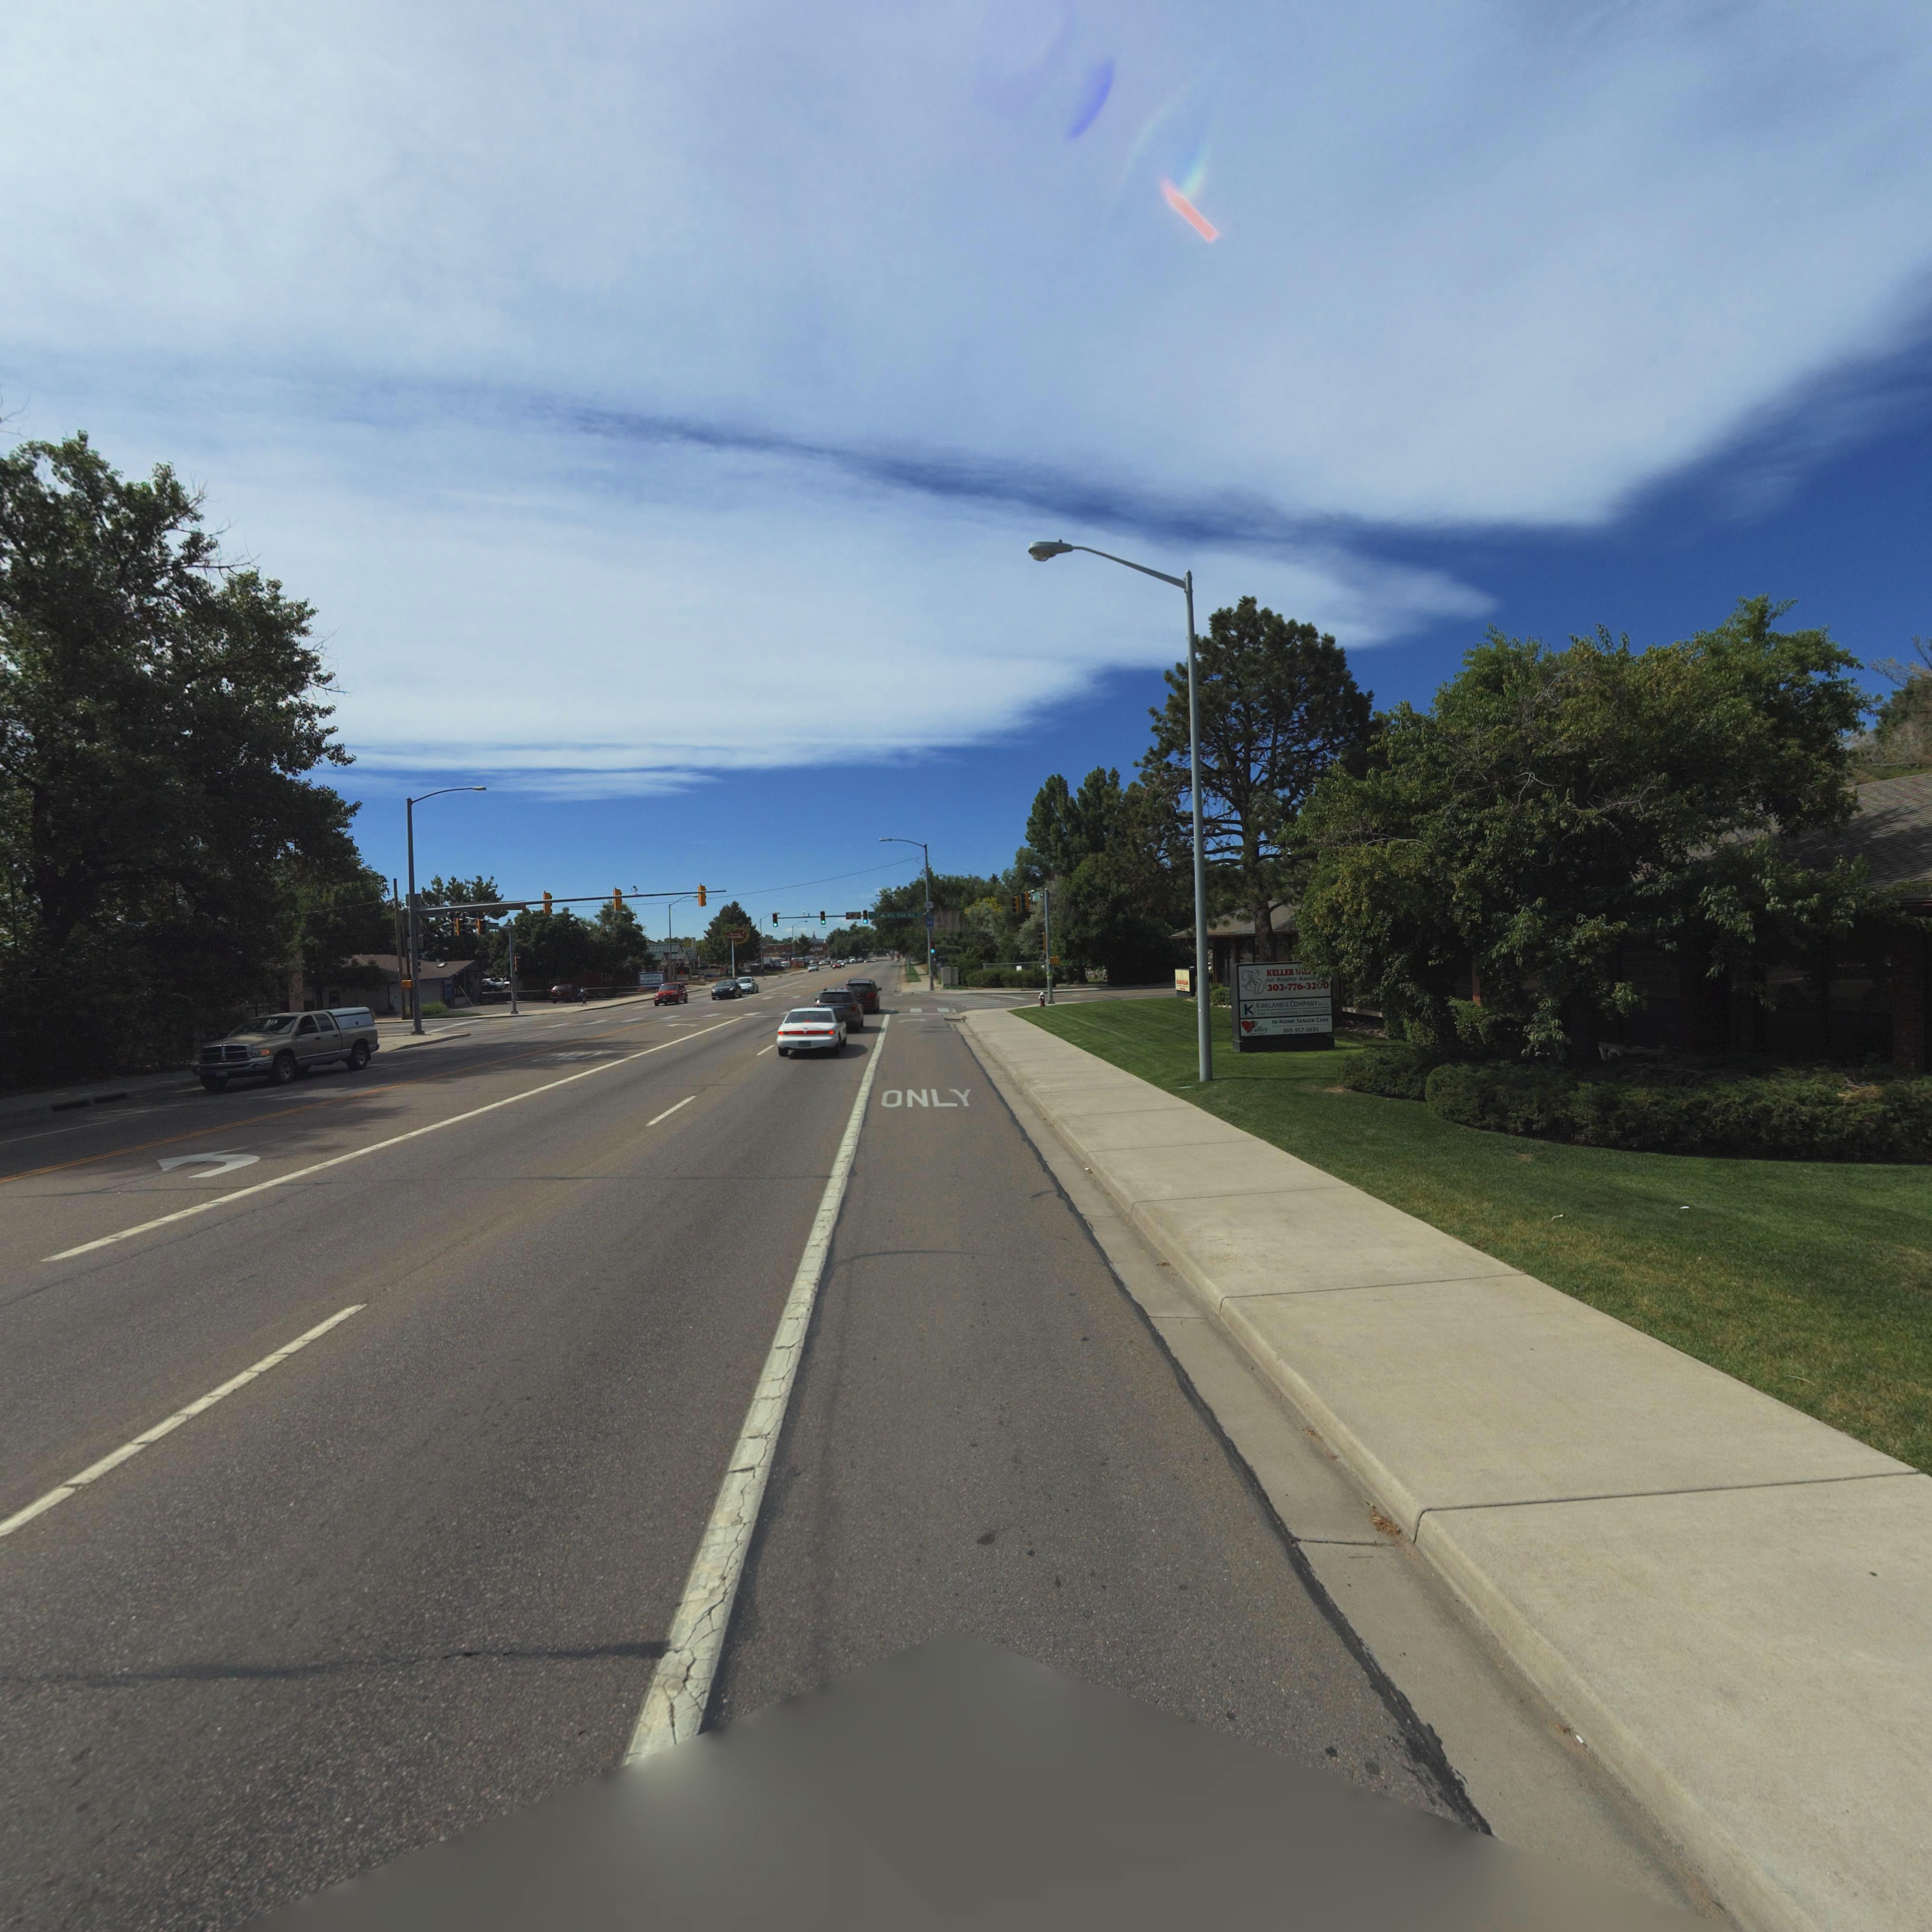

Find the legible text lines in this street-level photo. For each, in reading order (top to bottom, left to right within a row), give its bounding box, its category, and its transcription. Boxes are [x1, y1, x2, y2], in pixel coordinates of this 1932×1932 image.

[1265, 967, 1311, 977] BusinessName: KELLER ****
[640, 978, 663, 983] BusinessName: ****IT**
[1265, 976, 1316, 983] BusinessName: 1s* Real*y A**o*
[1256, 999, 1318, 1009] BusinessName: KIRKLAND * COMPANY
[1247, 1020, 1259, 1027] BusinessName: *ll
[1271, 1017, 1330, 1024] BusinessName: IN*HOME SE*IO* CARE
[1250, 1025, 1269, 1033] BusinessName: *alley